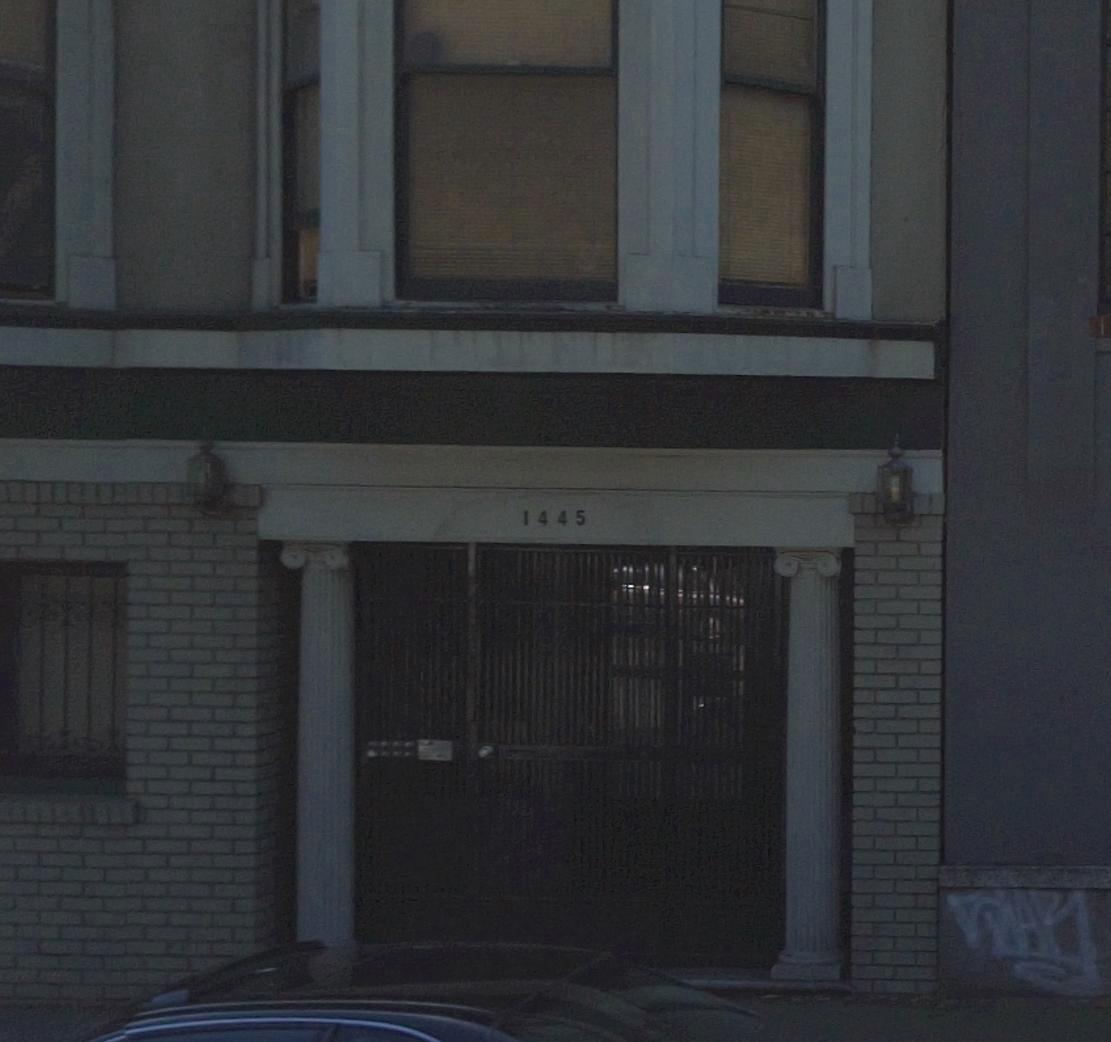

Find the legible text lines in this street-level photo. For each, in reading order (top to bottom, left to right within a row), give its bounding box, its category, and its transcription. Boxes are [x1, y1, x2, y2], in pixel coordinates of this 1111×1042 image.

[522, 505, 592, 529] StreetNumber: 1445